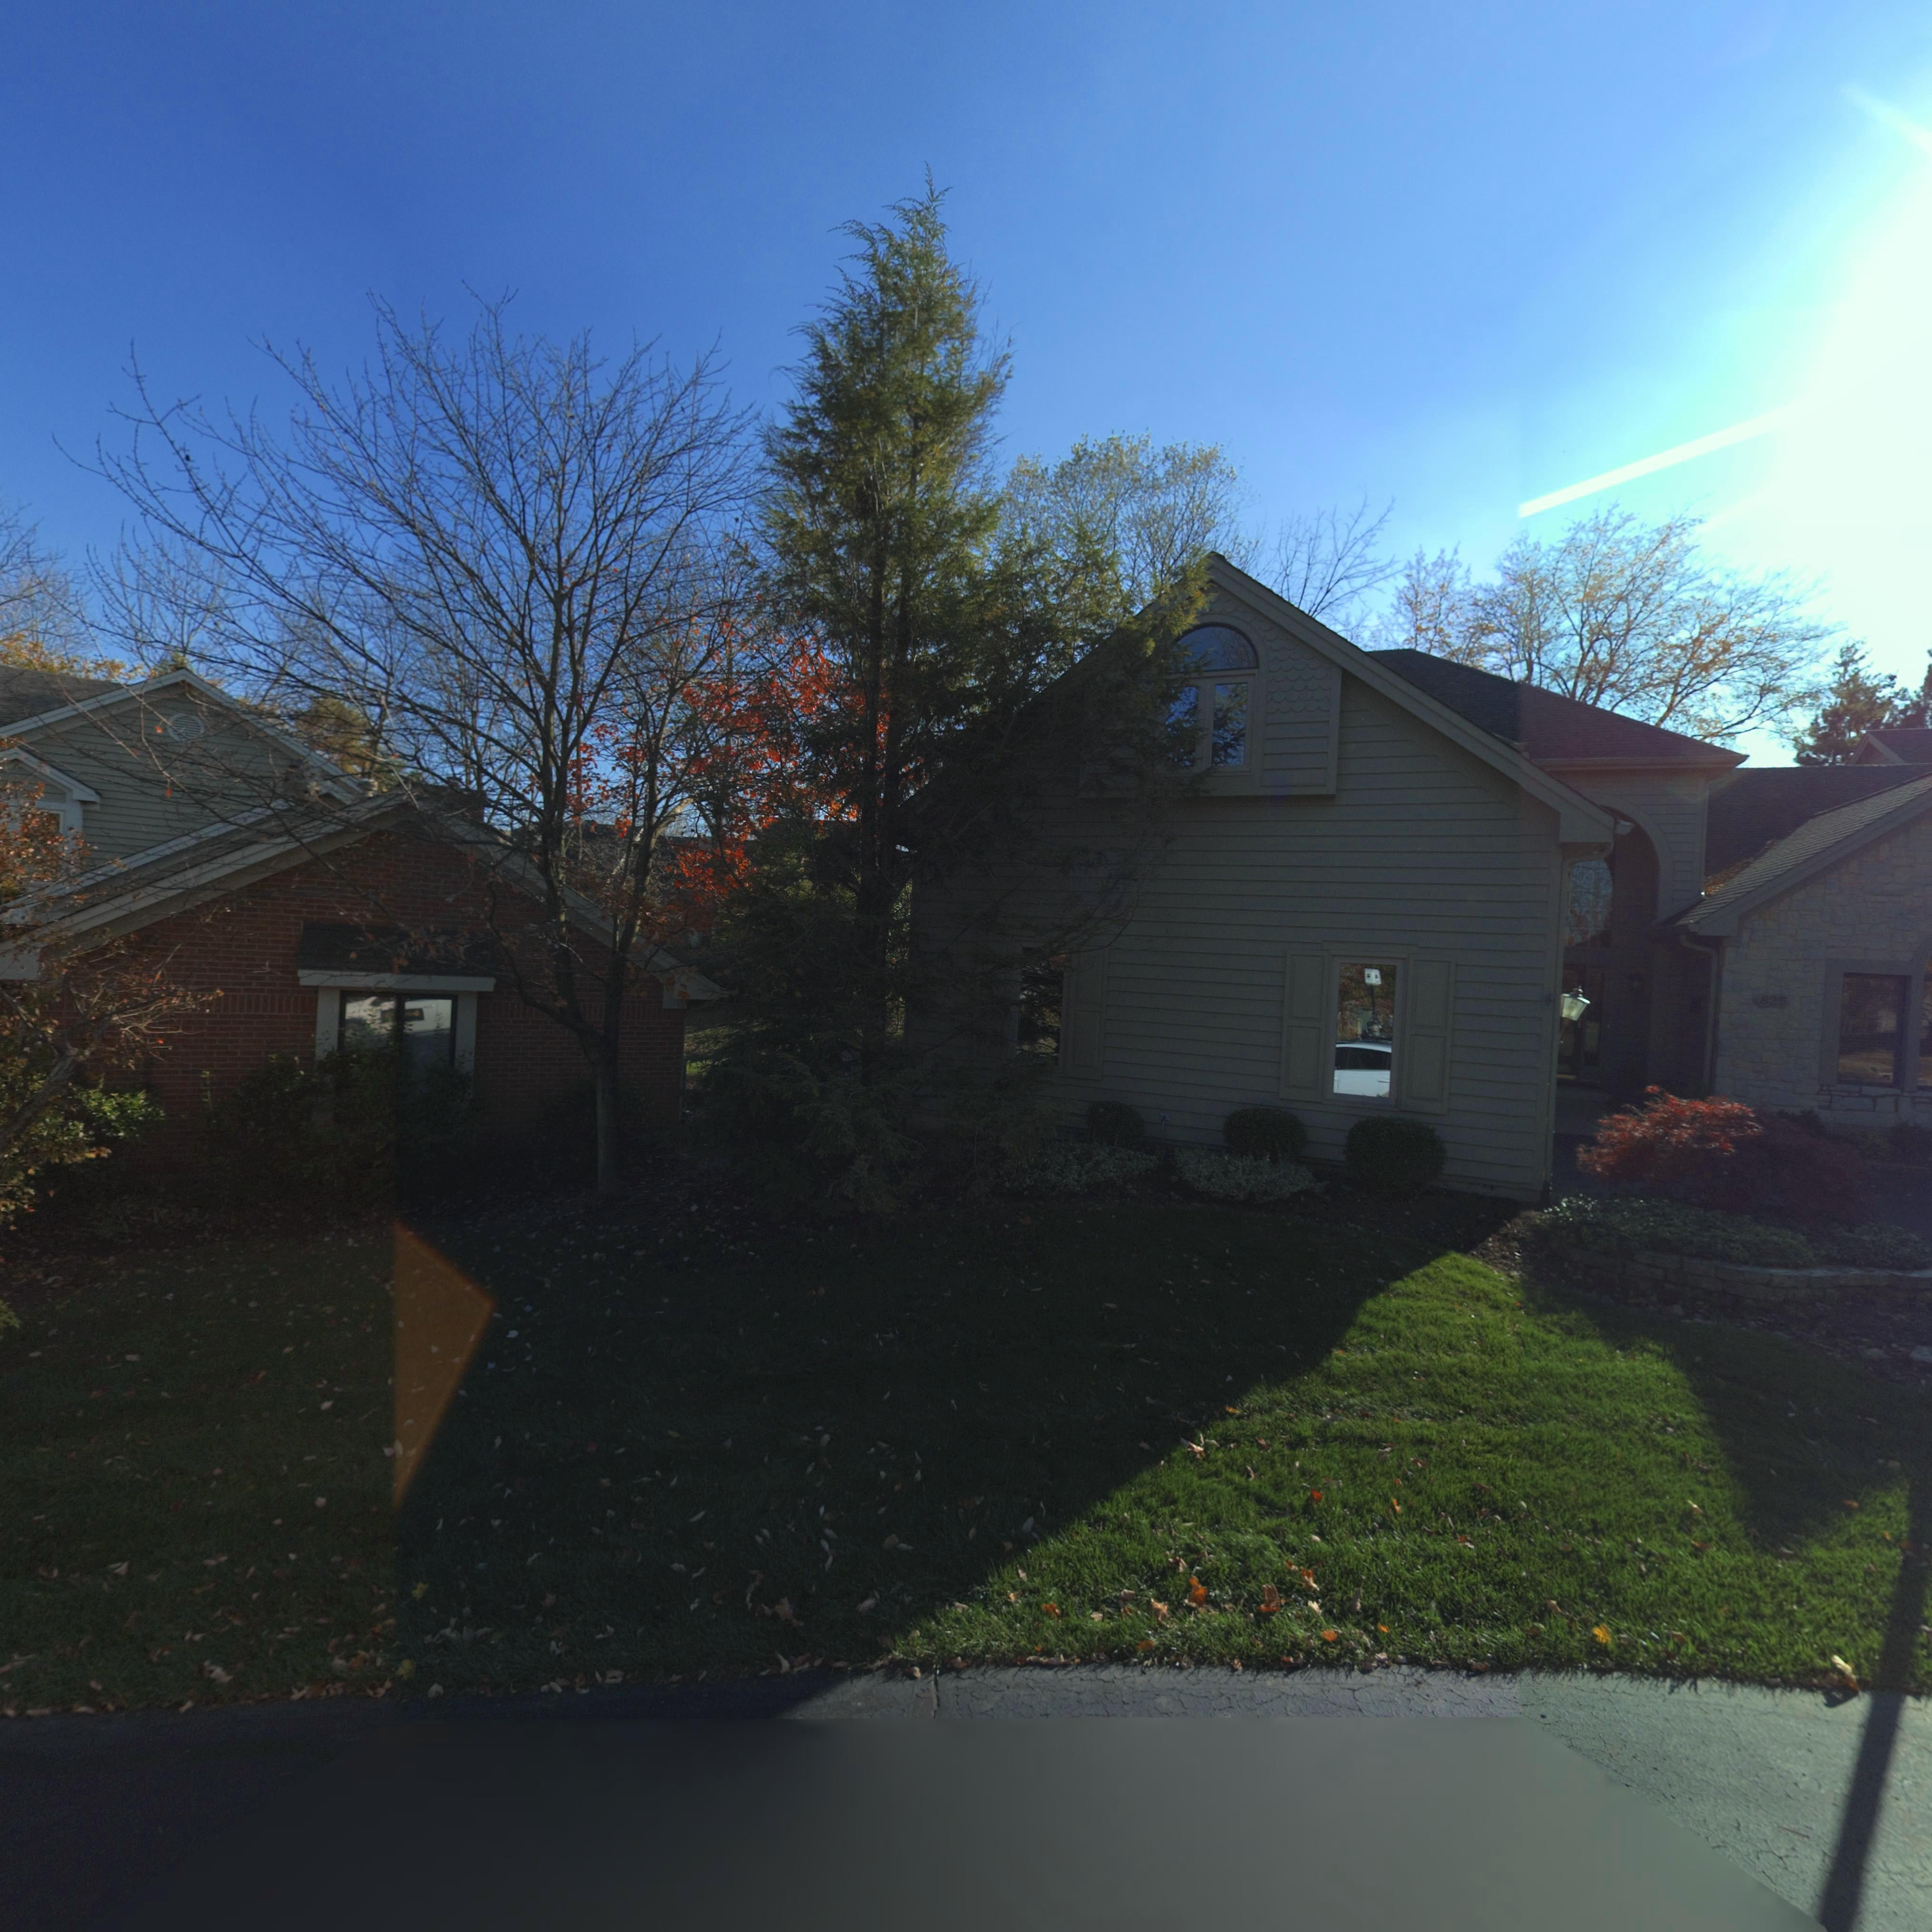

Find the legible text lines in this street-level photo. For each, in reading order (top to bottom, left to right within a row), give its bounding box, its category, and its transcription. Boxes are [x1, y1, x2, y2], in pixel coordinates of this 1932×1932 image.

[1760, 995, 1787, 1007] StreetNumber: 825